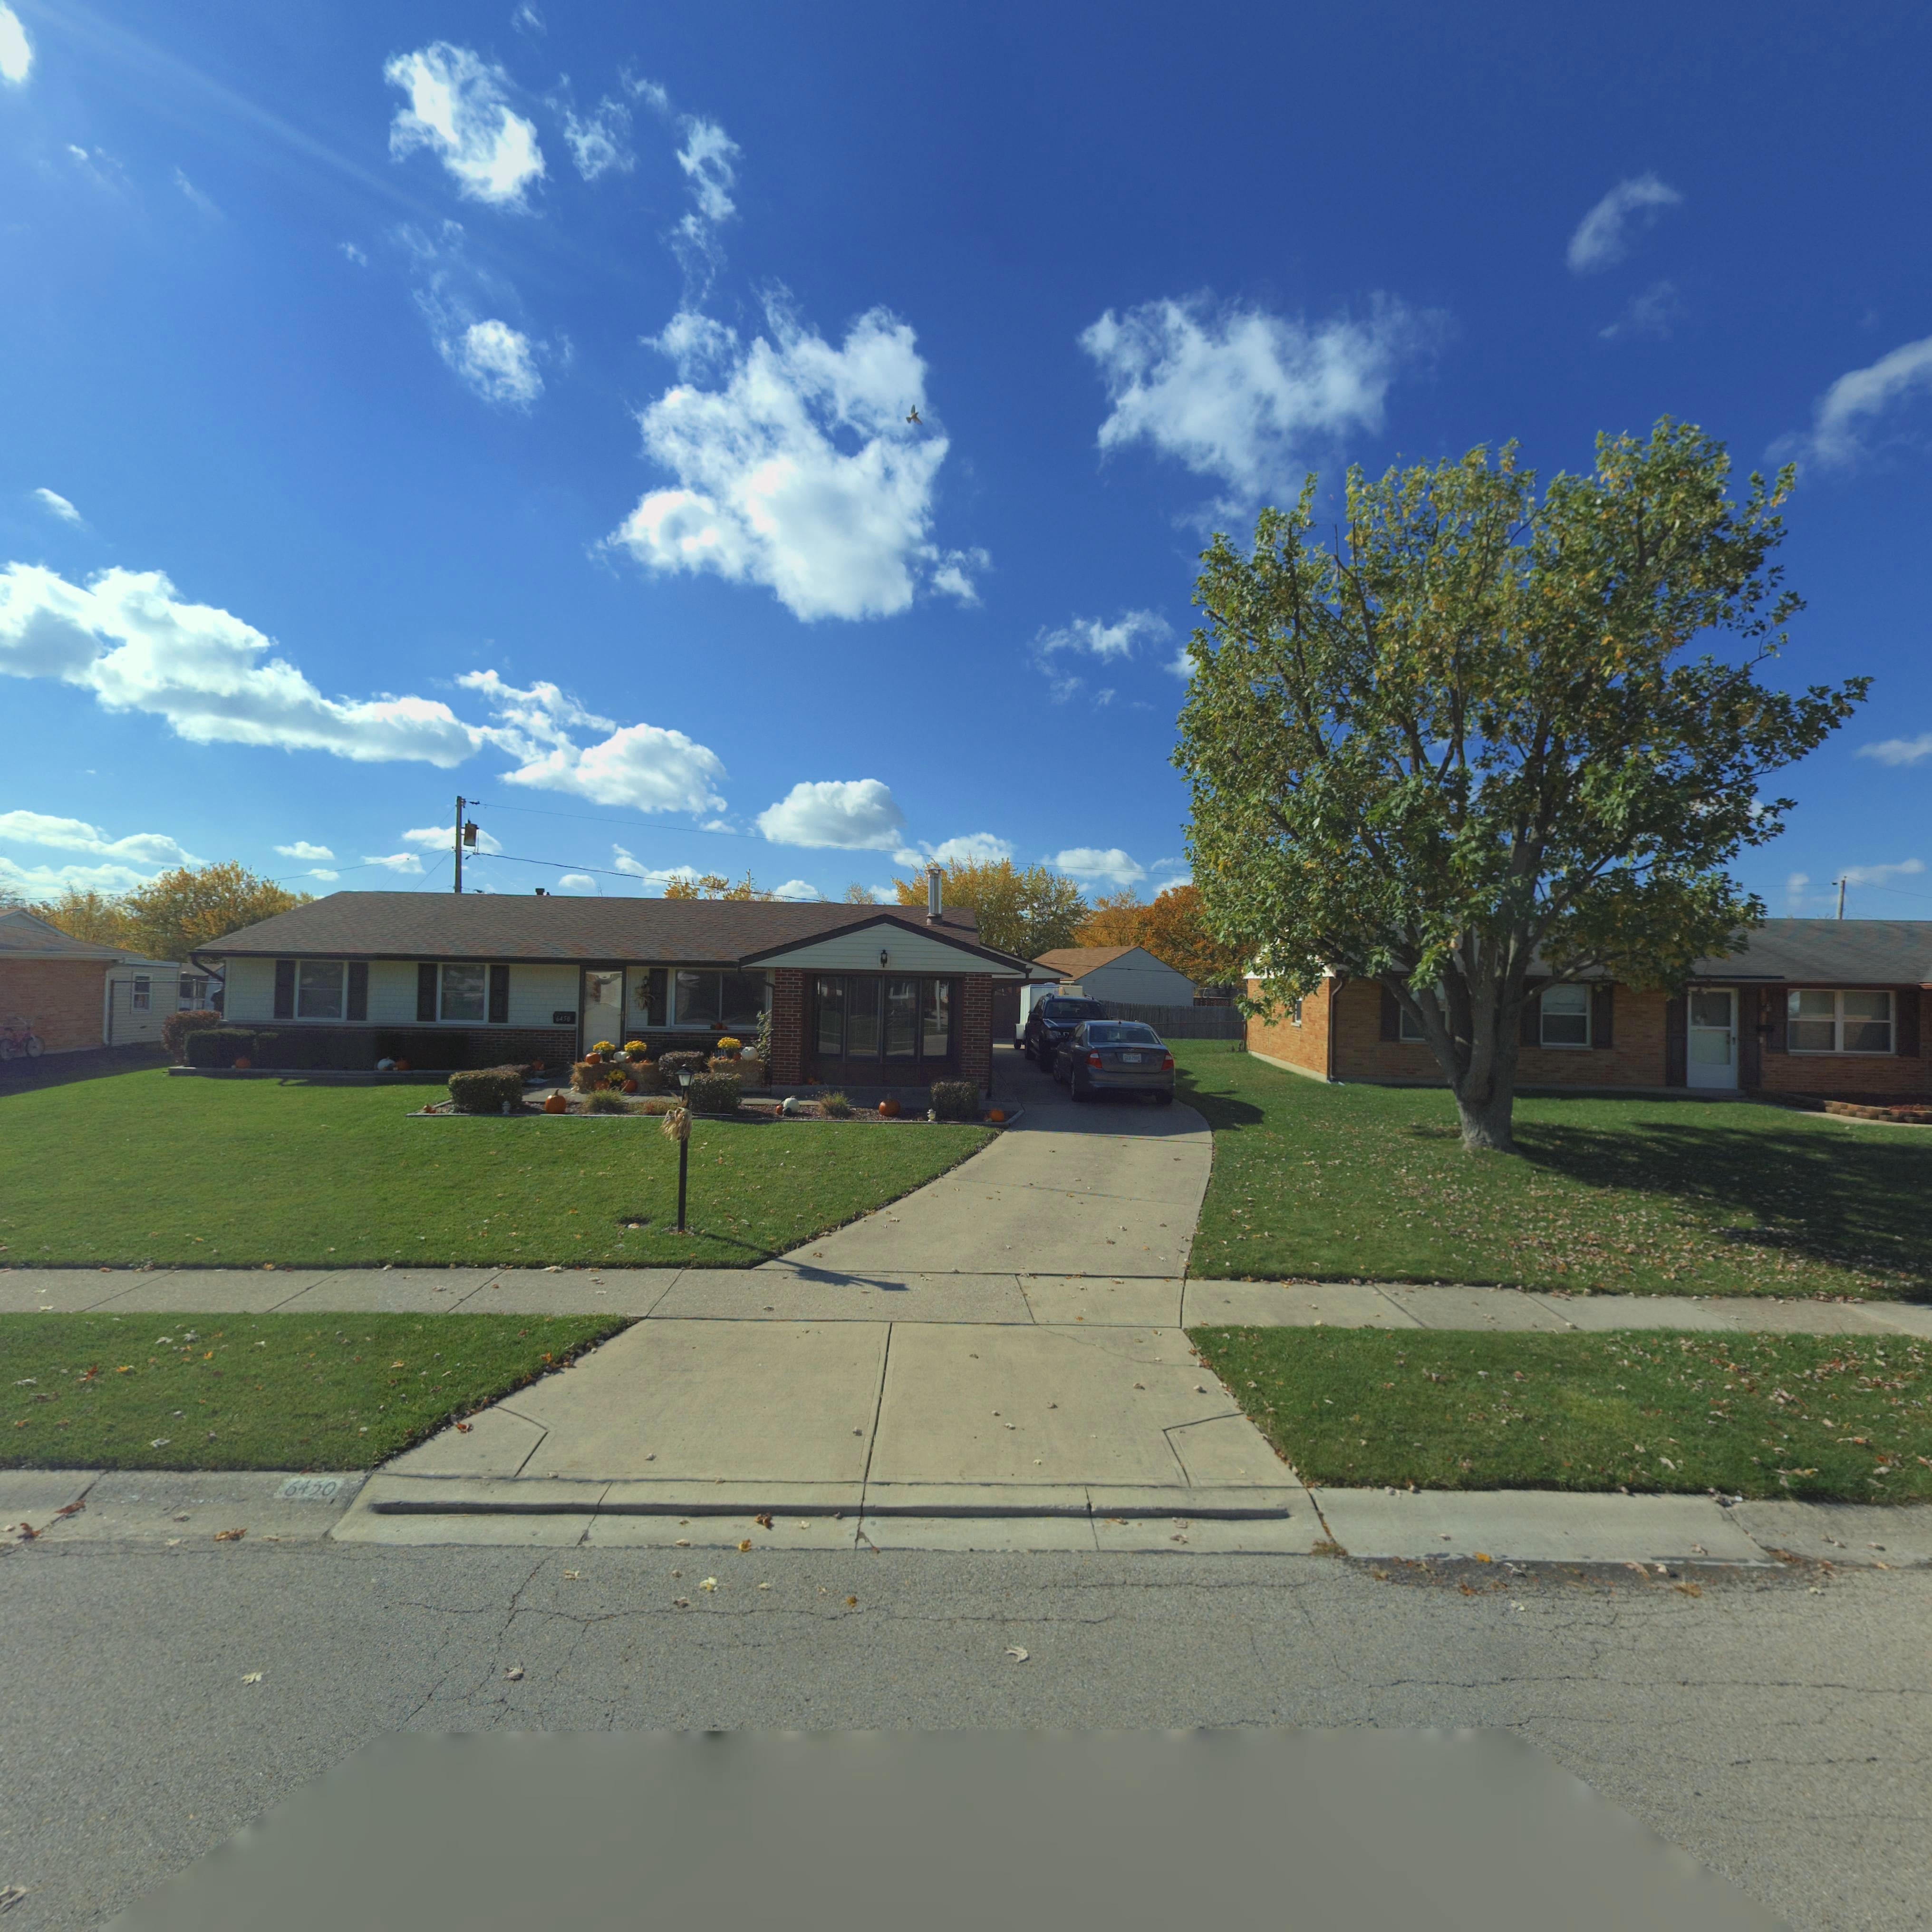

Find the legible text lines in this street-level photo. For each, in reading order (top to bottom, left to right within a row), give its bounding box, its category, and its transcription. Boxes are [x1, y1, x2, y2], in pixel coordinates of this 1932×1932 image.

[555, 1015, 571, 1023] StreetNumber: 6450
[283, 1479, 337, 1498] StreetNumber: 6450